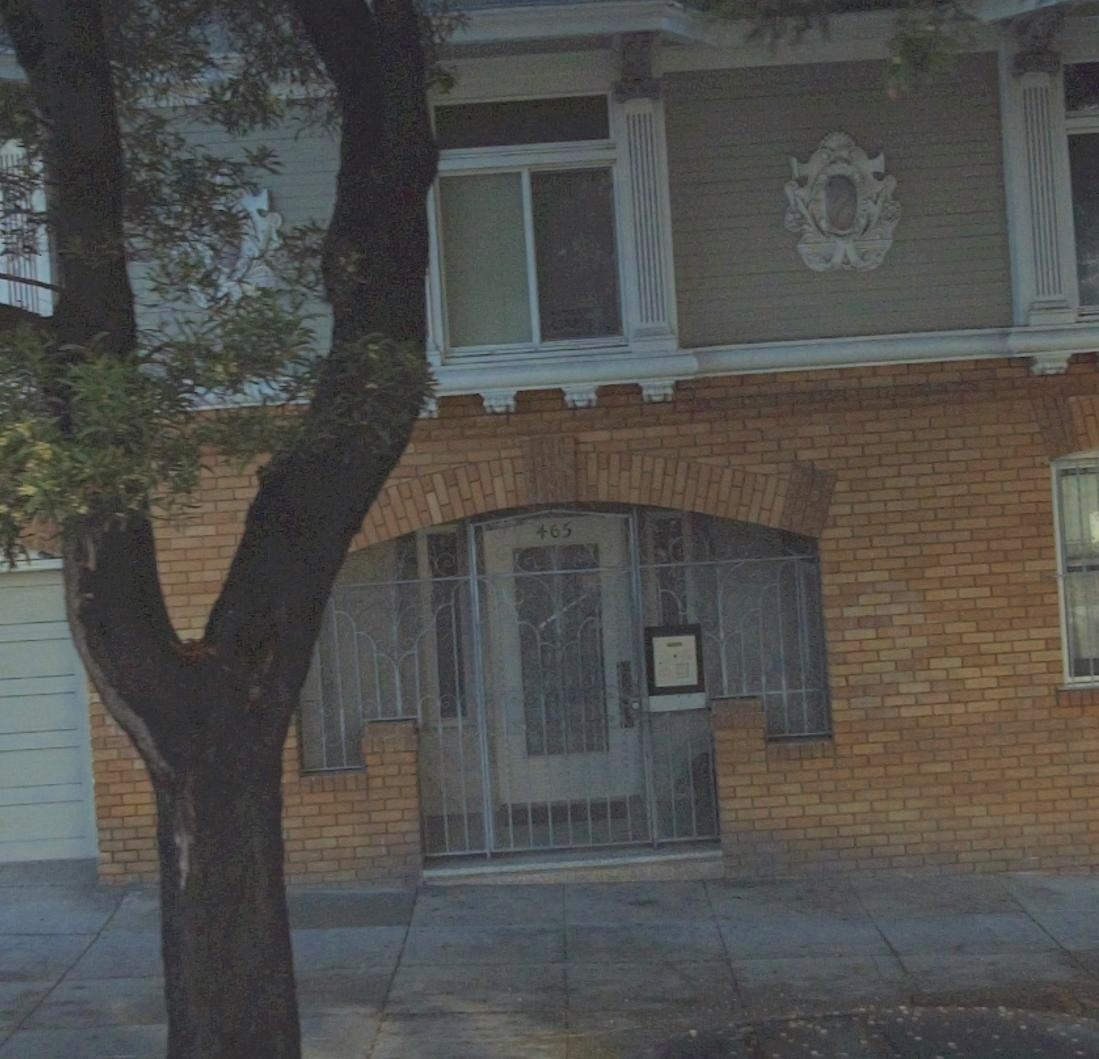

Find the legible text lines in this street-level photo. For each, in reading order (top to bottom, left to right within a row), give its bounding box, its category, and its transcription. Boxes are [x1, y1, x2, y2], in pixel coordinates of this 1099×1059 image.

[534, 522, 573, 540] StreetNumber: 465